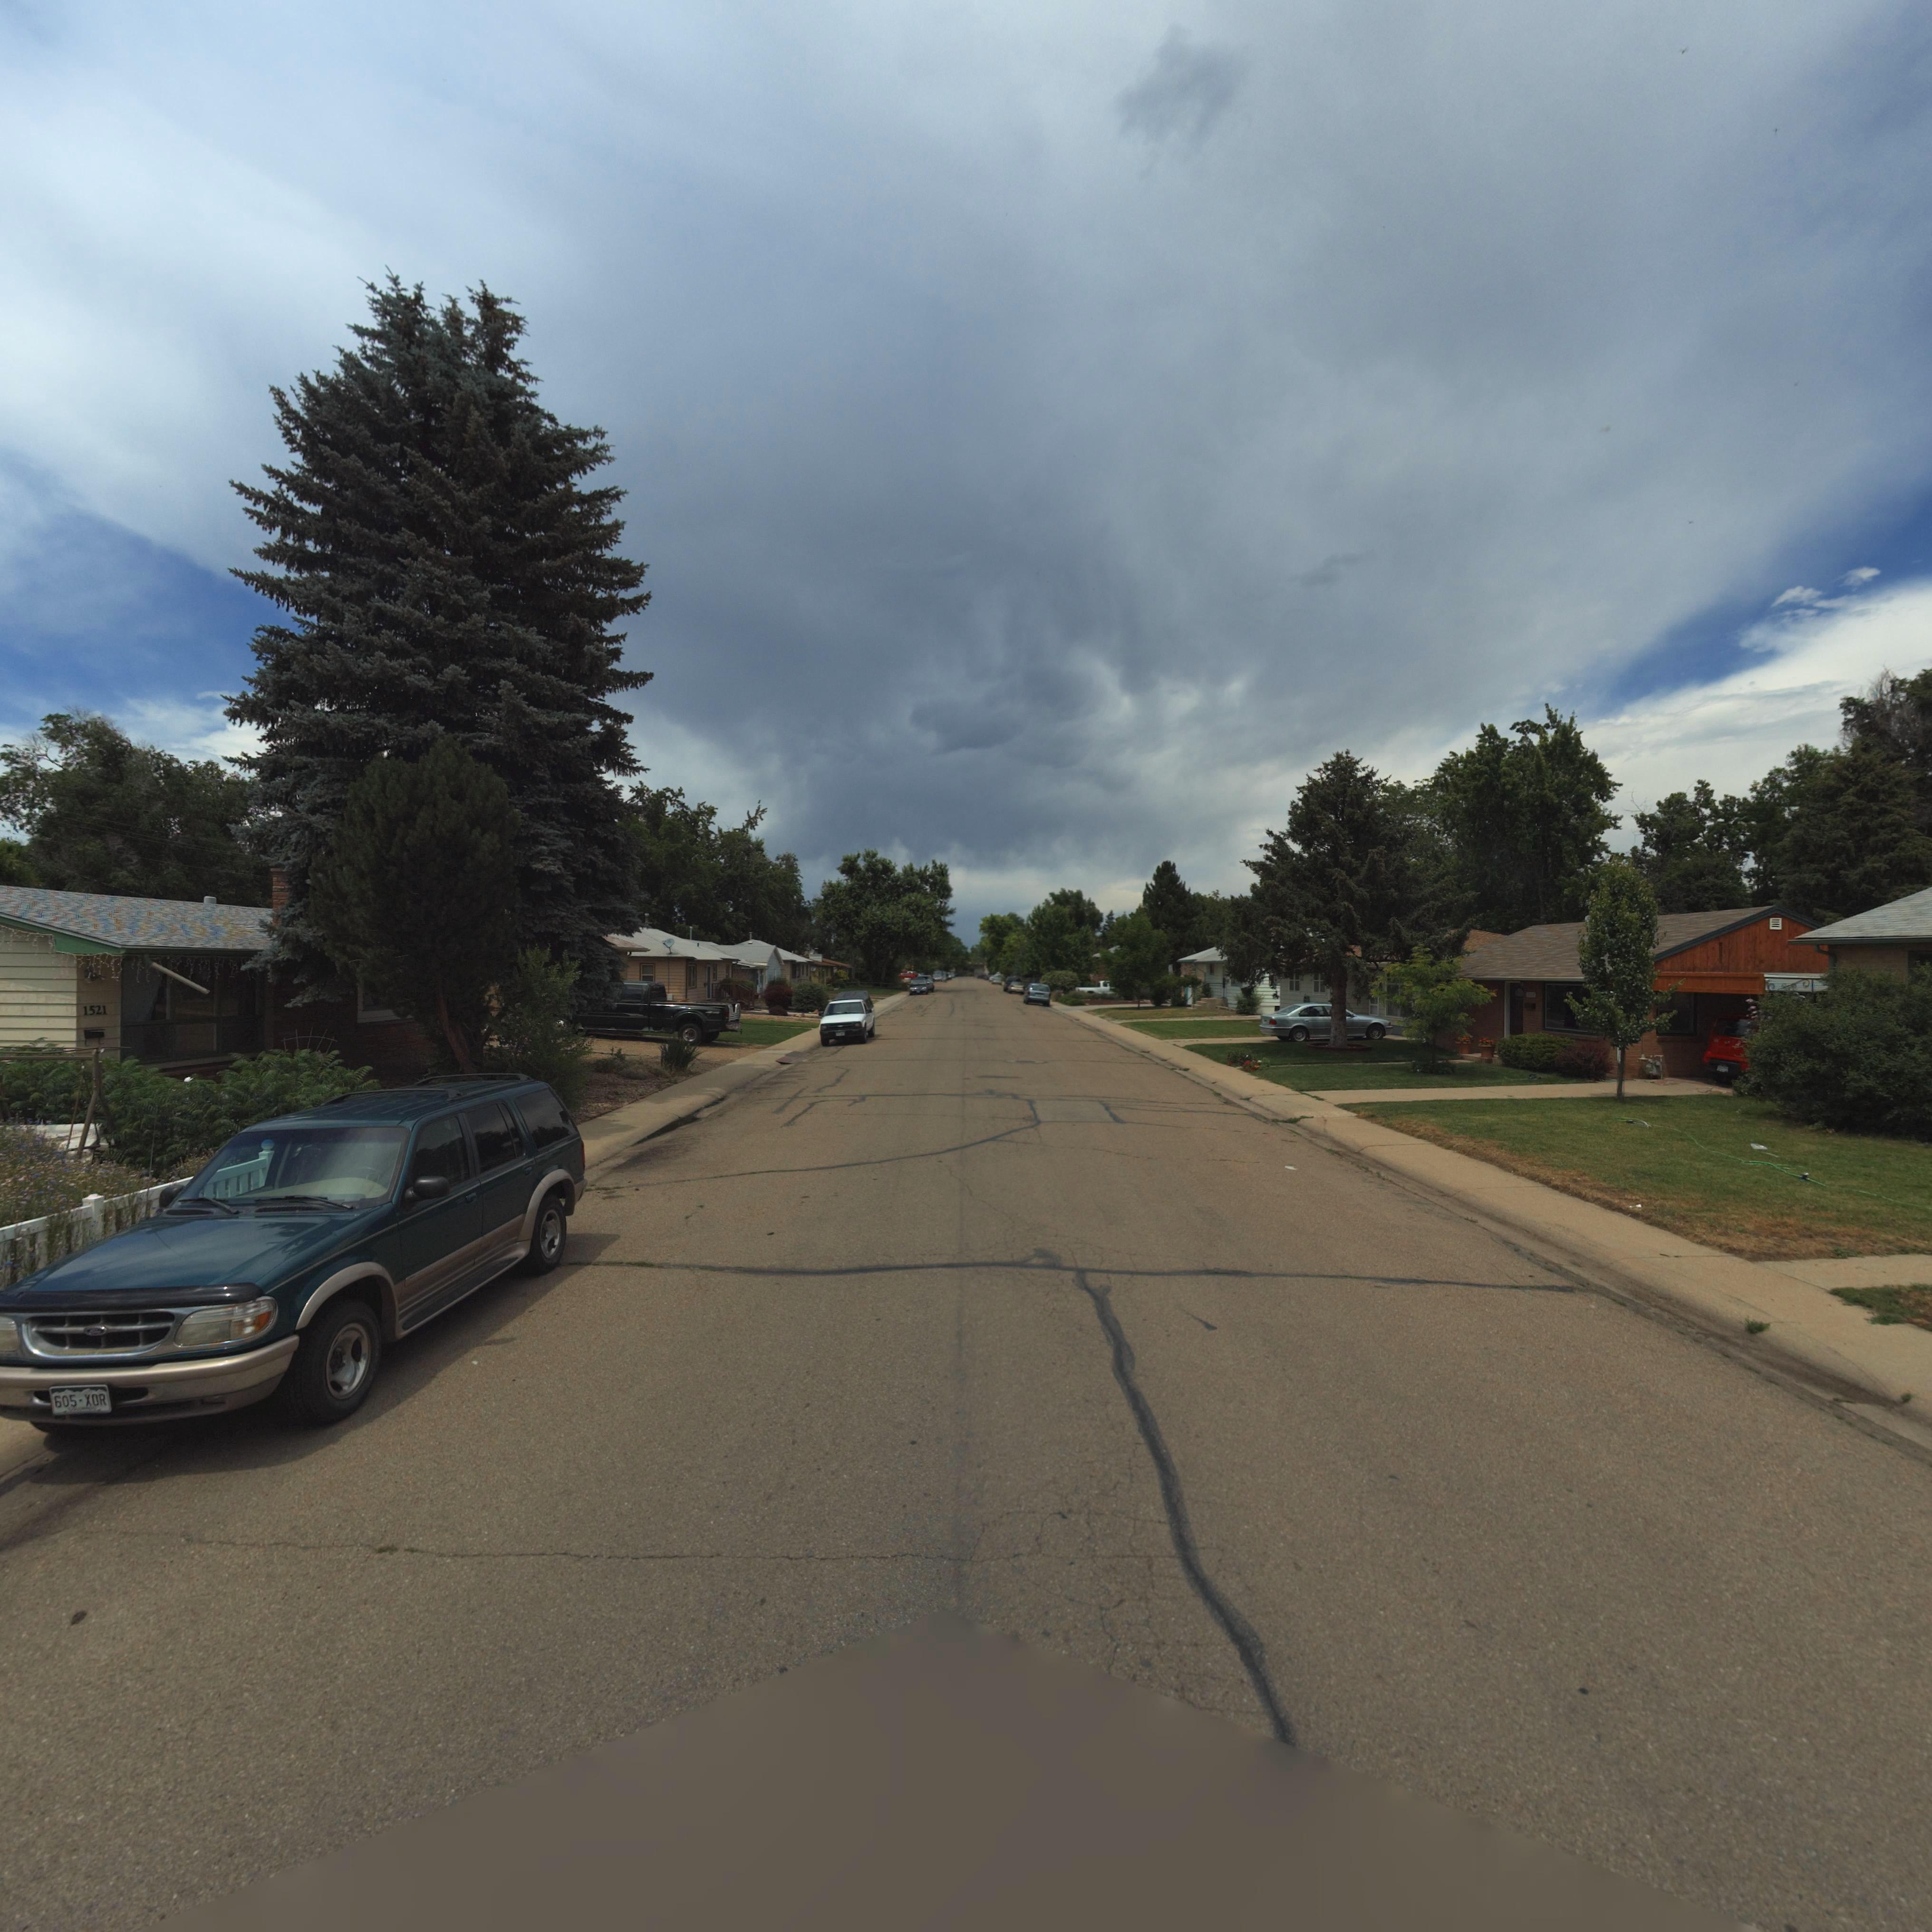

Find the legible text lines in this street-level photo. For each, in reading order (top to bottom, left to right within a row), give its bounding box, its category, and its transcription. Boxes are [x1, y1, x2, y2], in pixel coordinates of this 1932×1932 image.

[1527, 992, 1535, 997] StreetNumber: 15*1
[83, 1005, 107, 1016] StreetNumber: 1521